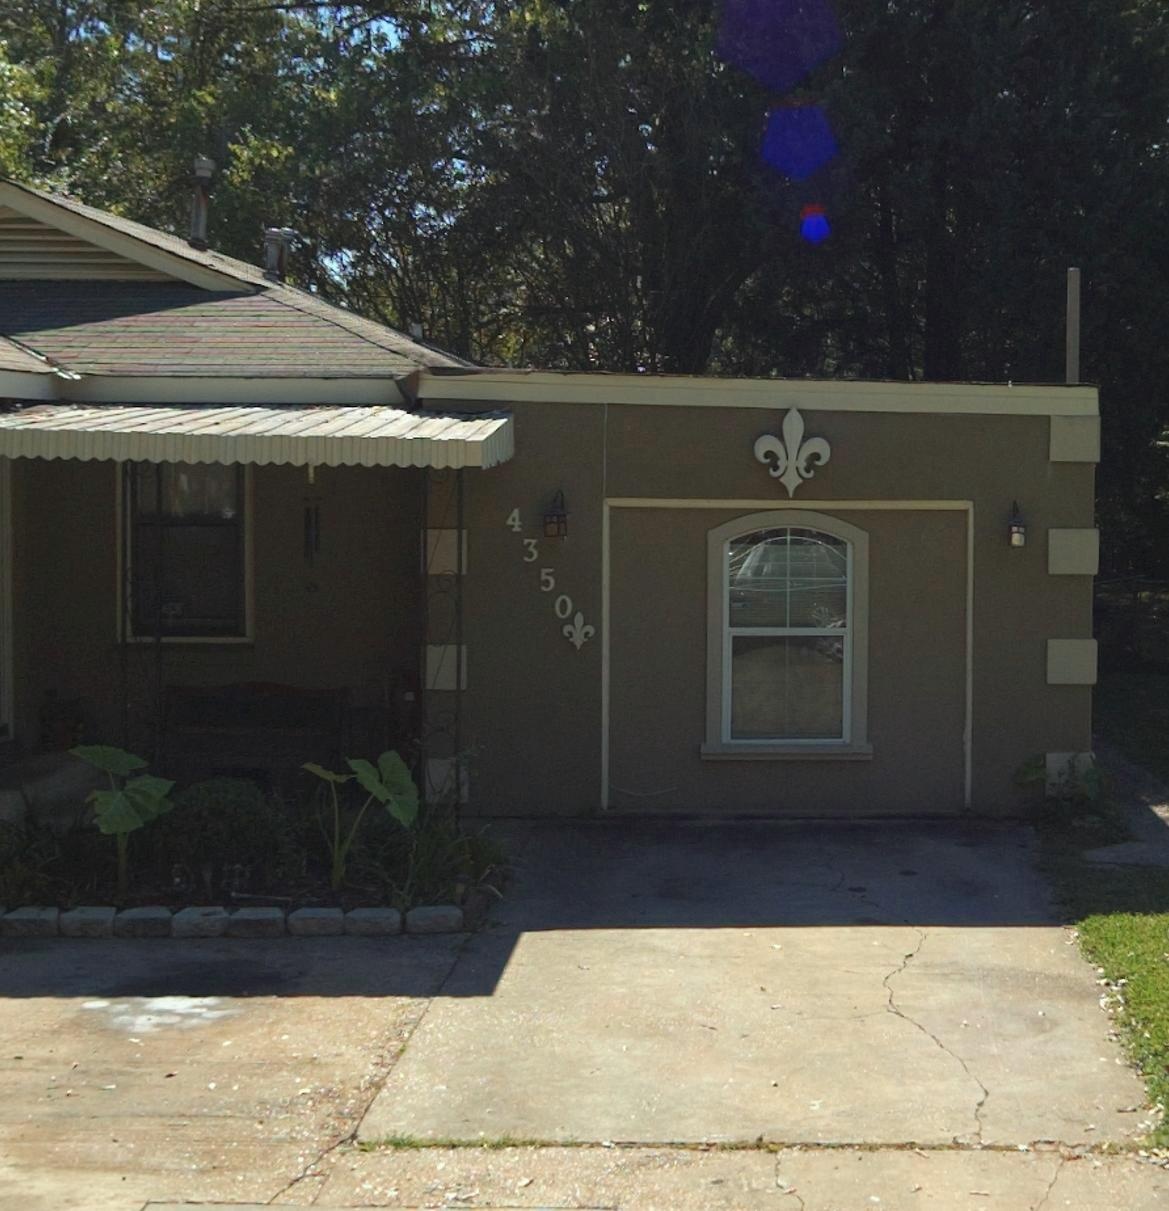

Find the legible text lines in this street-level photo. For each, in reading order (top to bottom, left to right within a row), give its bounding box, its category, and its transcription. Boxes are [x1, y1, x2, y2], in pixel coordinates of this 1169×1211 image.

[504, 507, 573, 620] StreetNumber: 4350